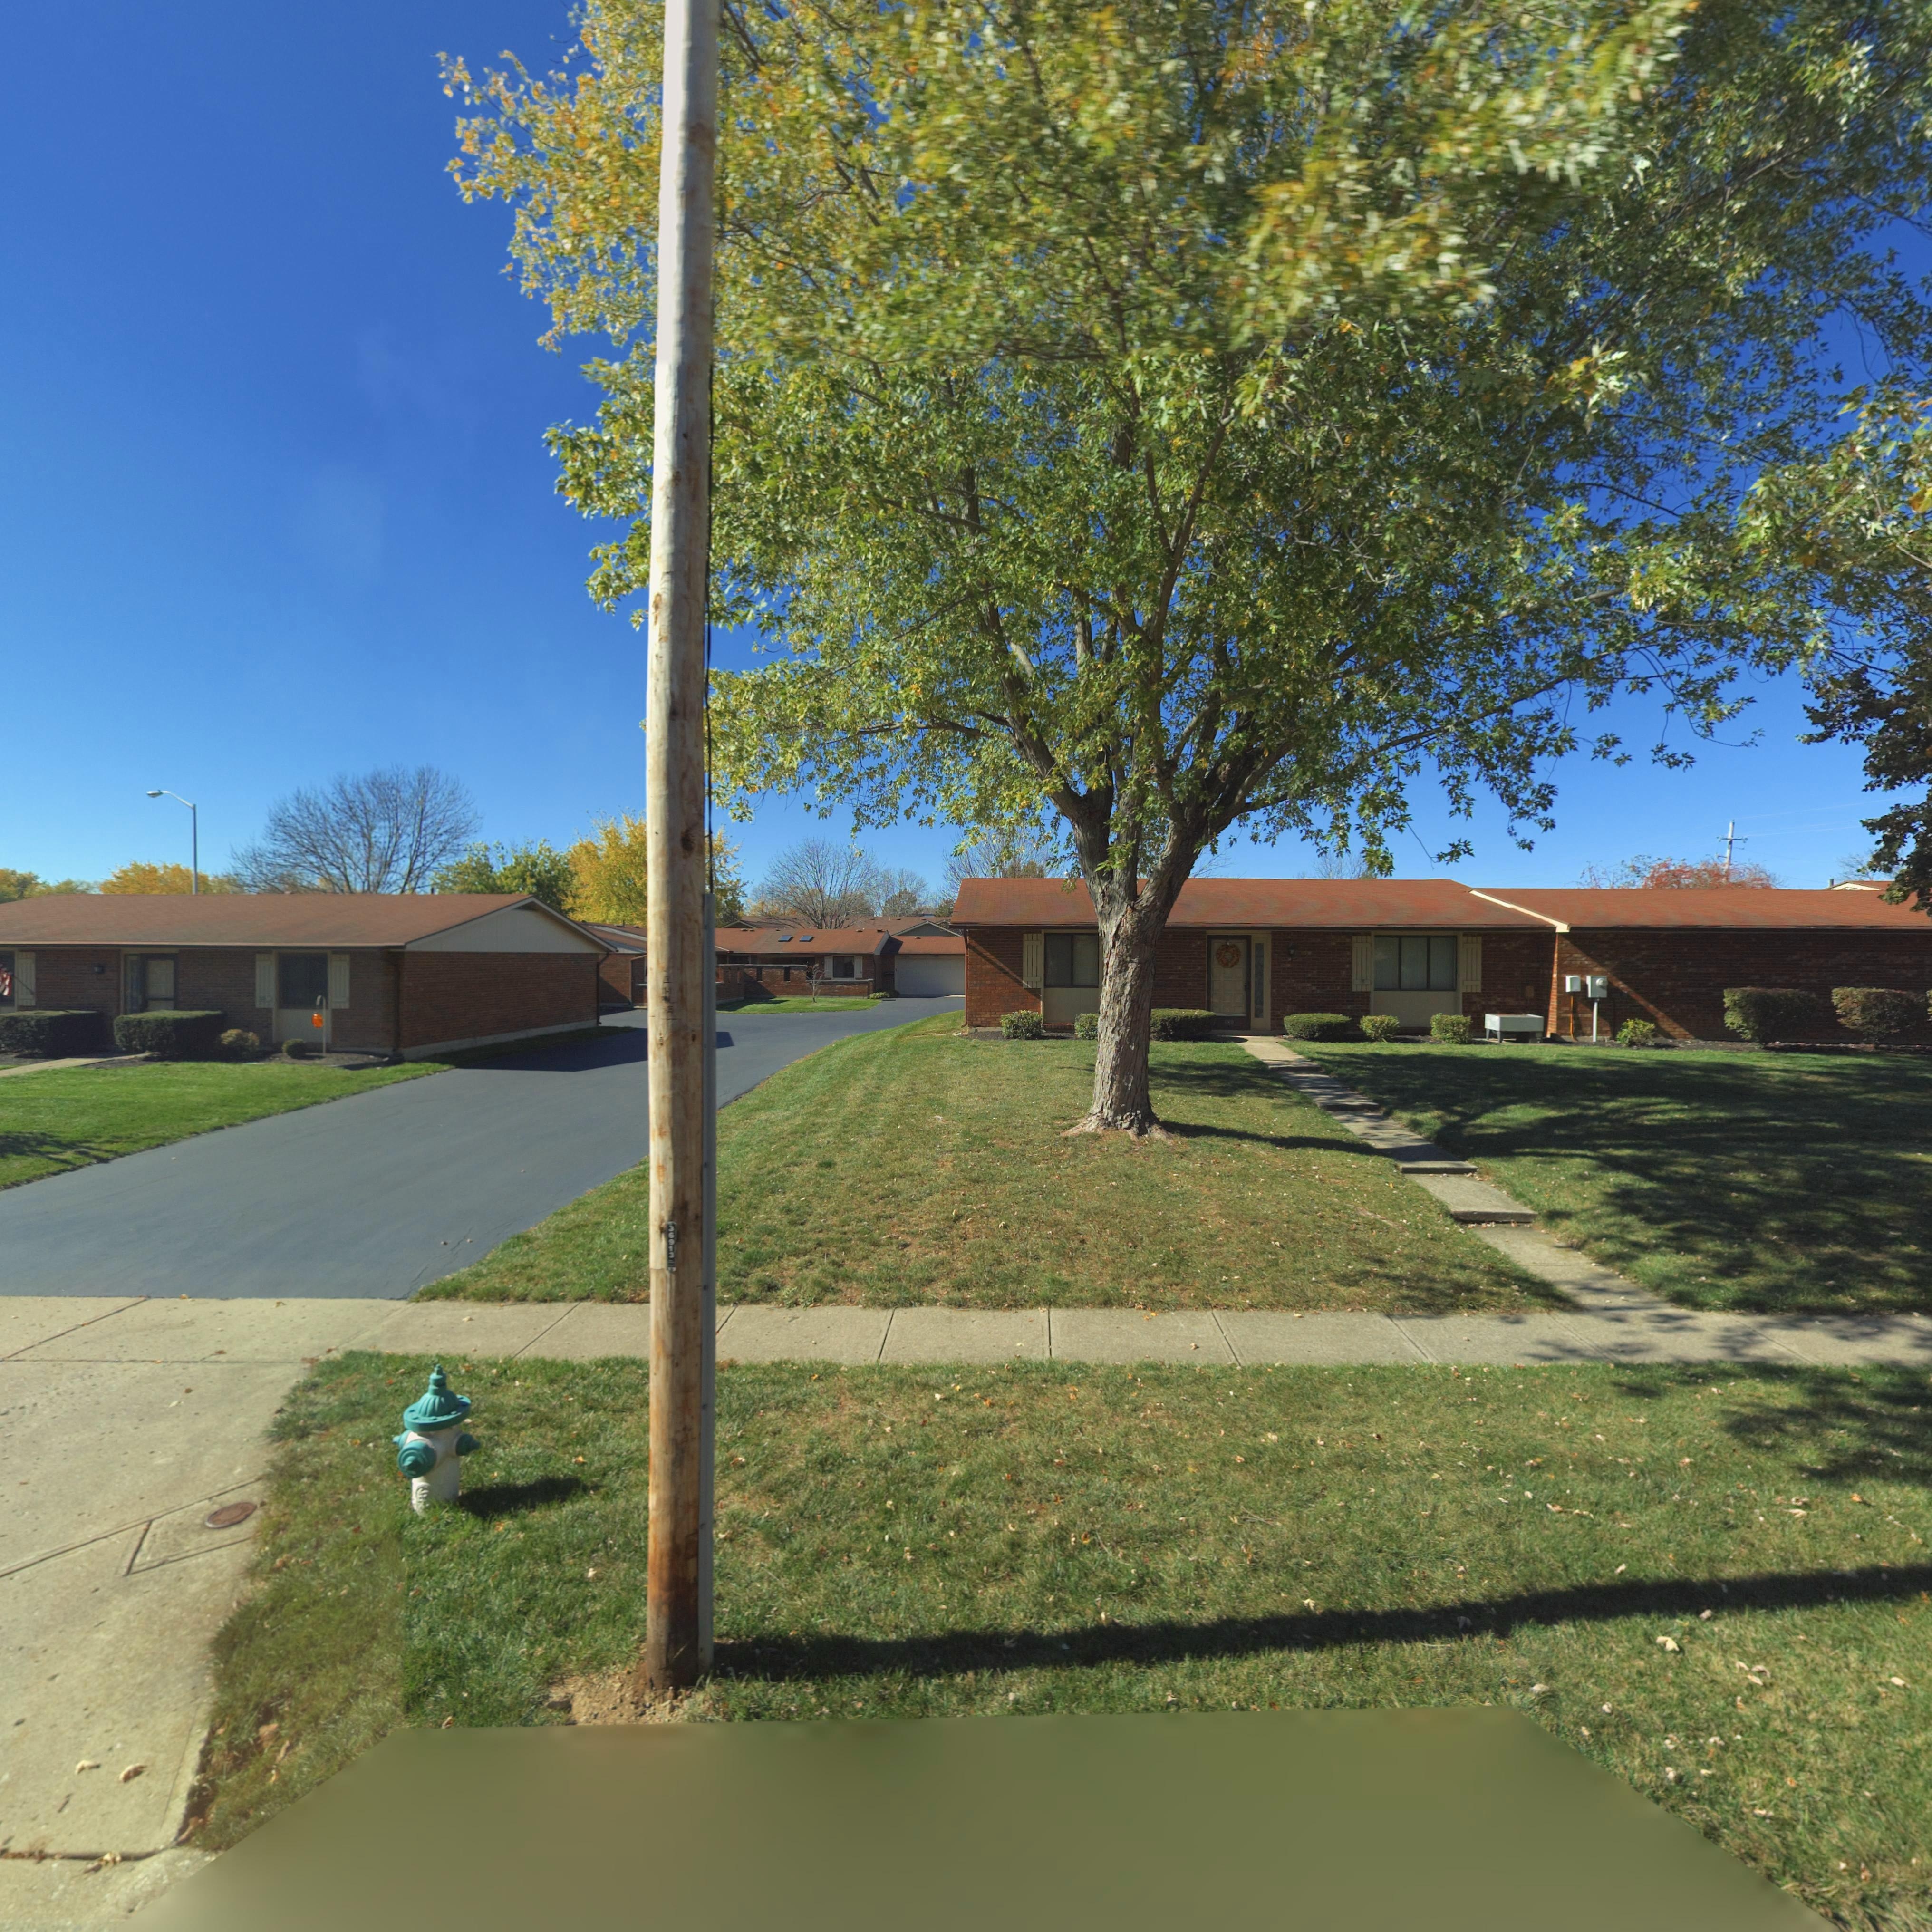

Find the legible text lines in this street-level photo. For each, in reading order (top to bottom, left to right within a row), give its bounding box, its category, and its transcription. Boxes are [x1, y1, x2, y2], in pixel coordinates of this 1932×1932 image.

[1223, 1019, 1235, 1026] StreetNumber: 1*0